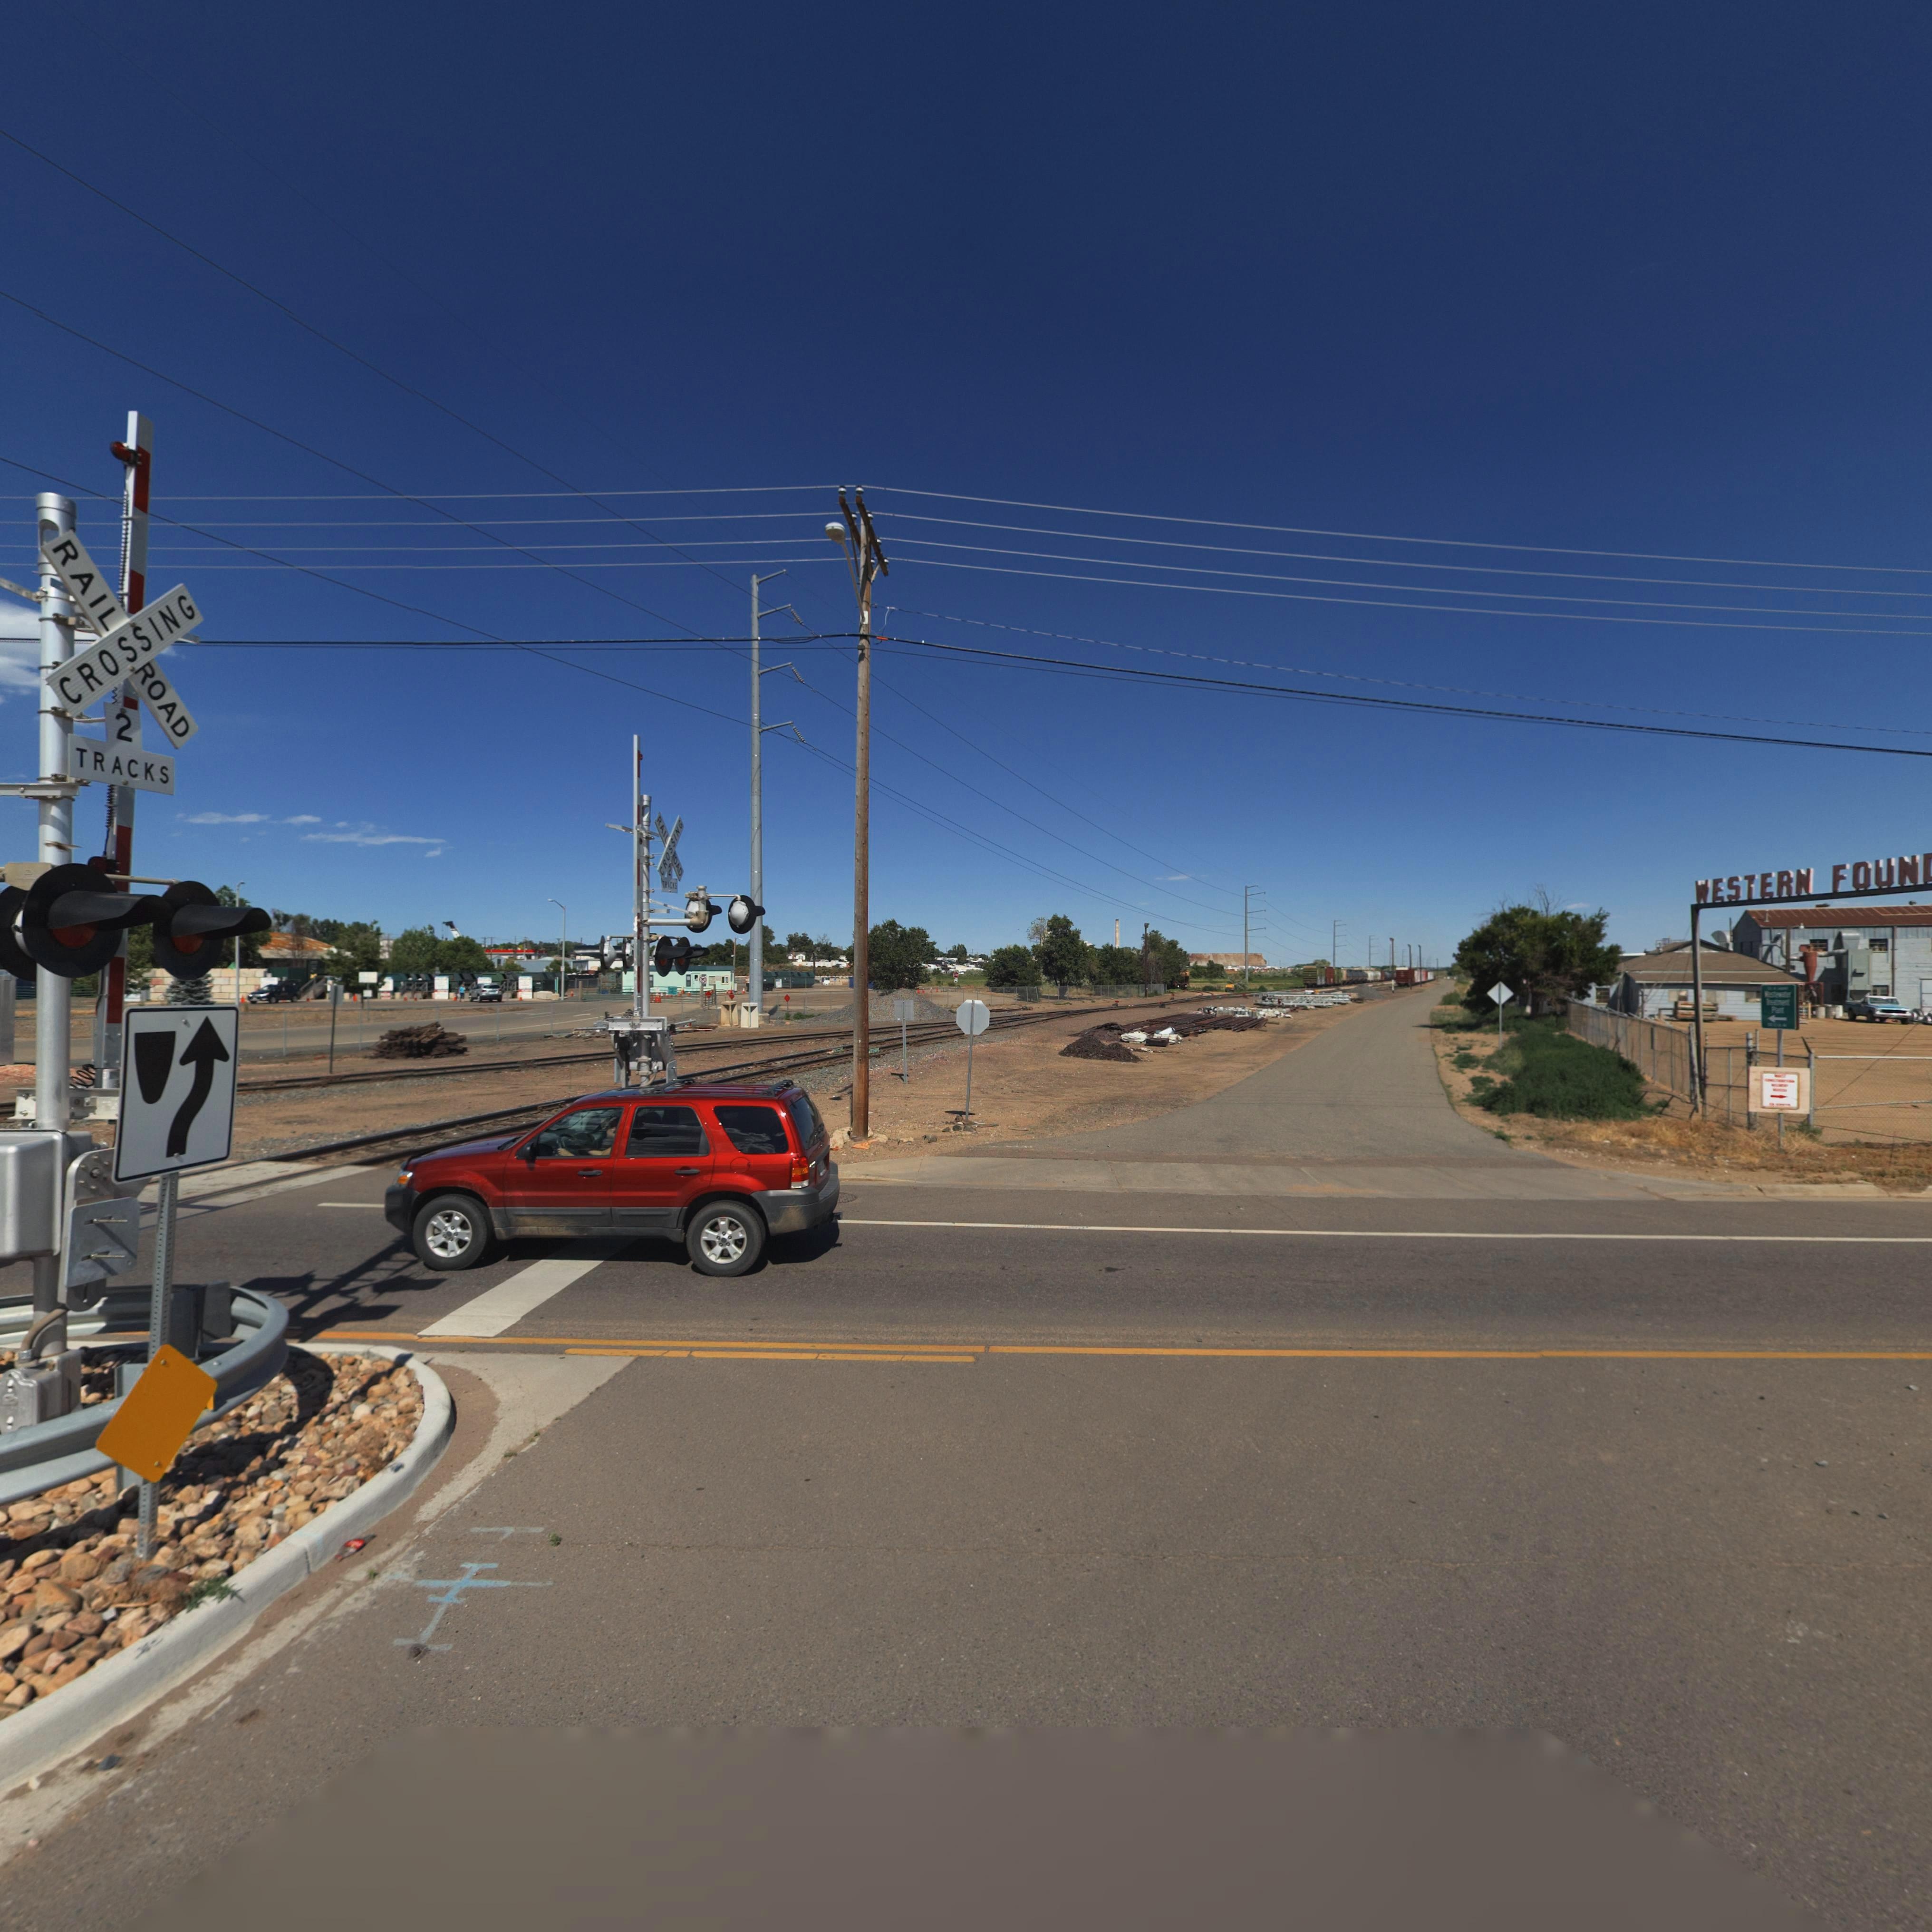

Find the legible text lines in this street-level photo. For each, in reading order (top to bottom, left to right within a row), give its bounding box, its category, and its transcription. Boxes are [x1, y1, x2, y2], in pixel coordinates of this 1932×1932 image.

[1693, 853, 1919, 904] BusinessName: WESTERN FOUN